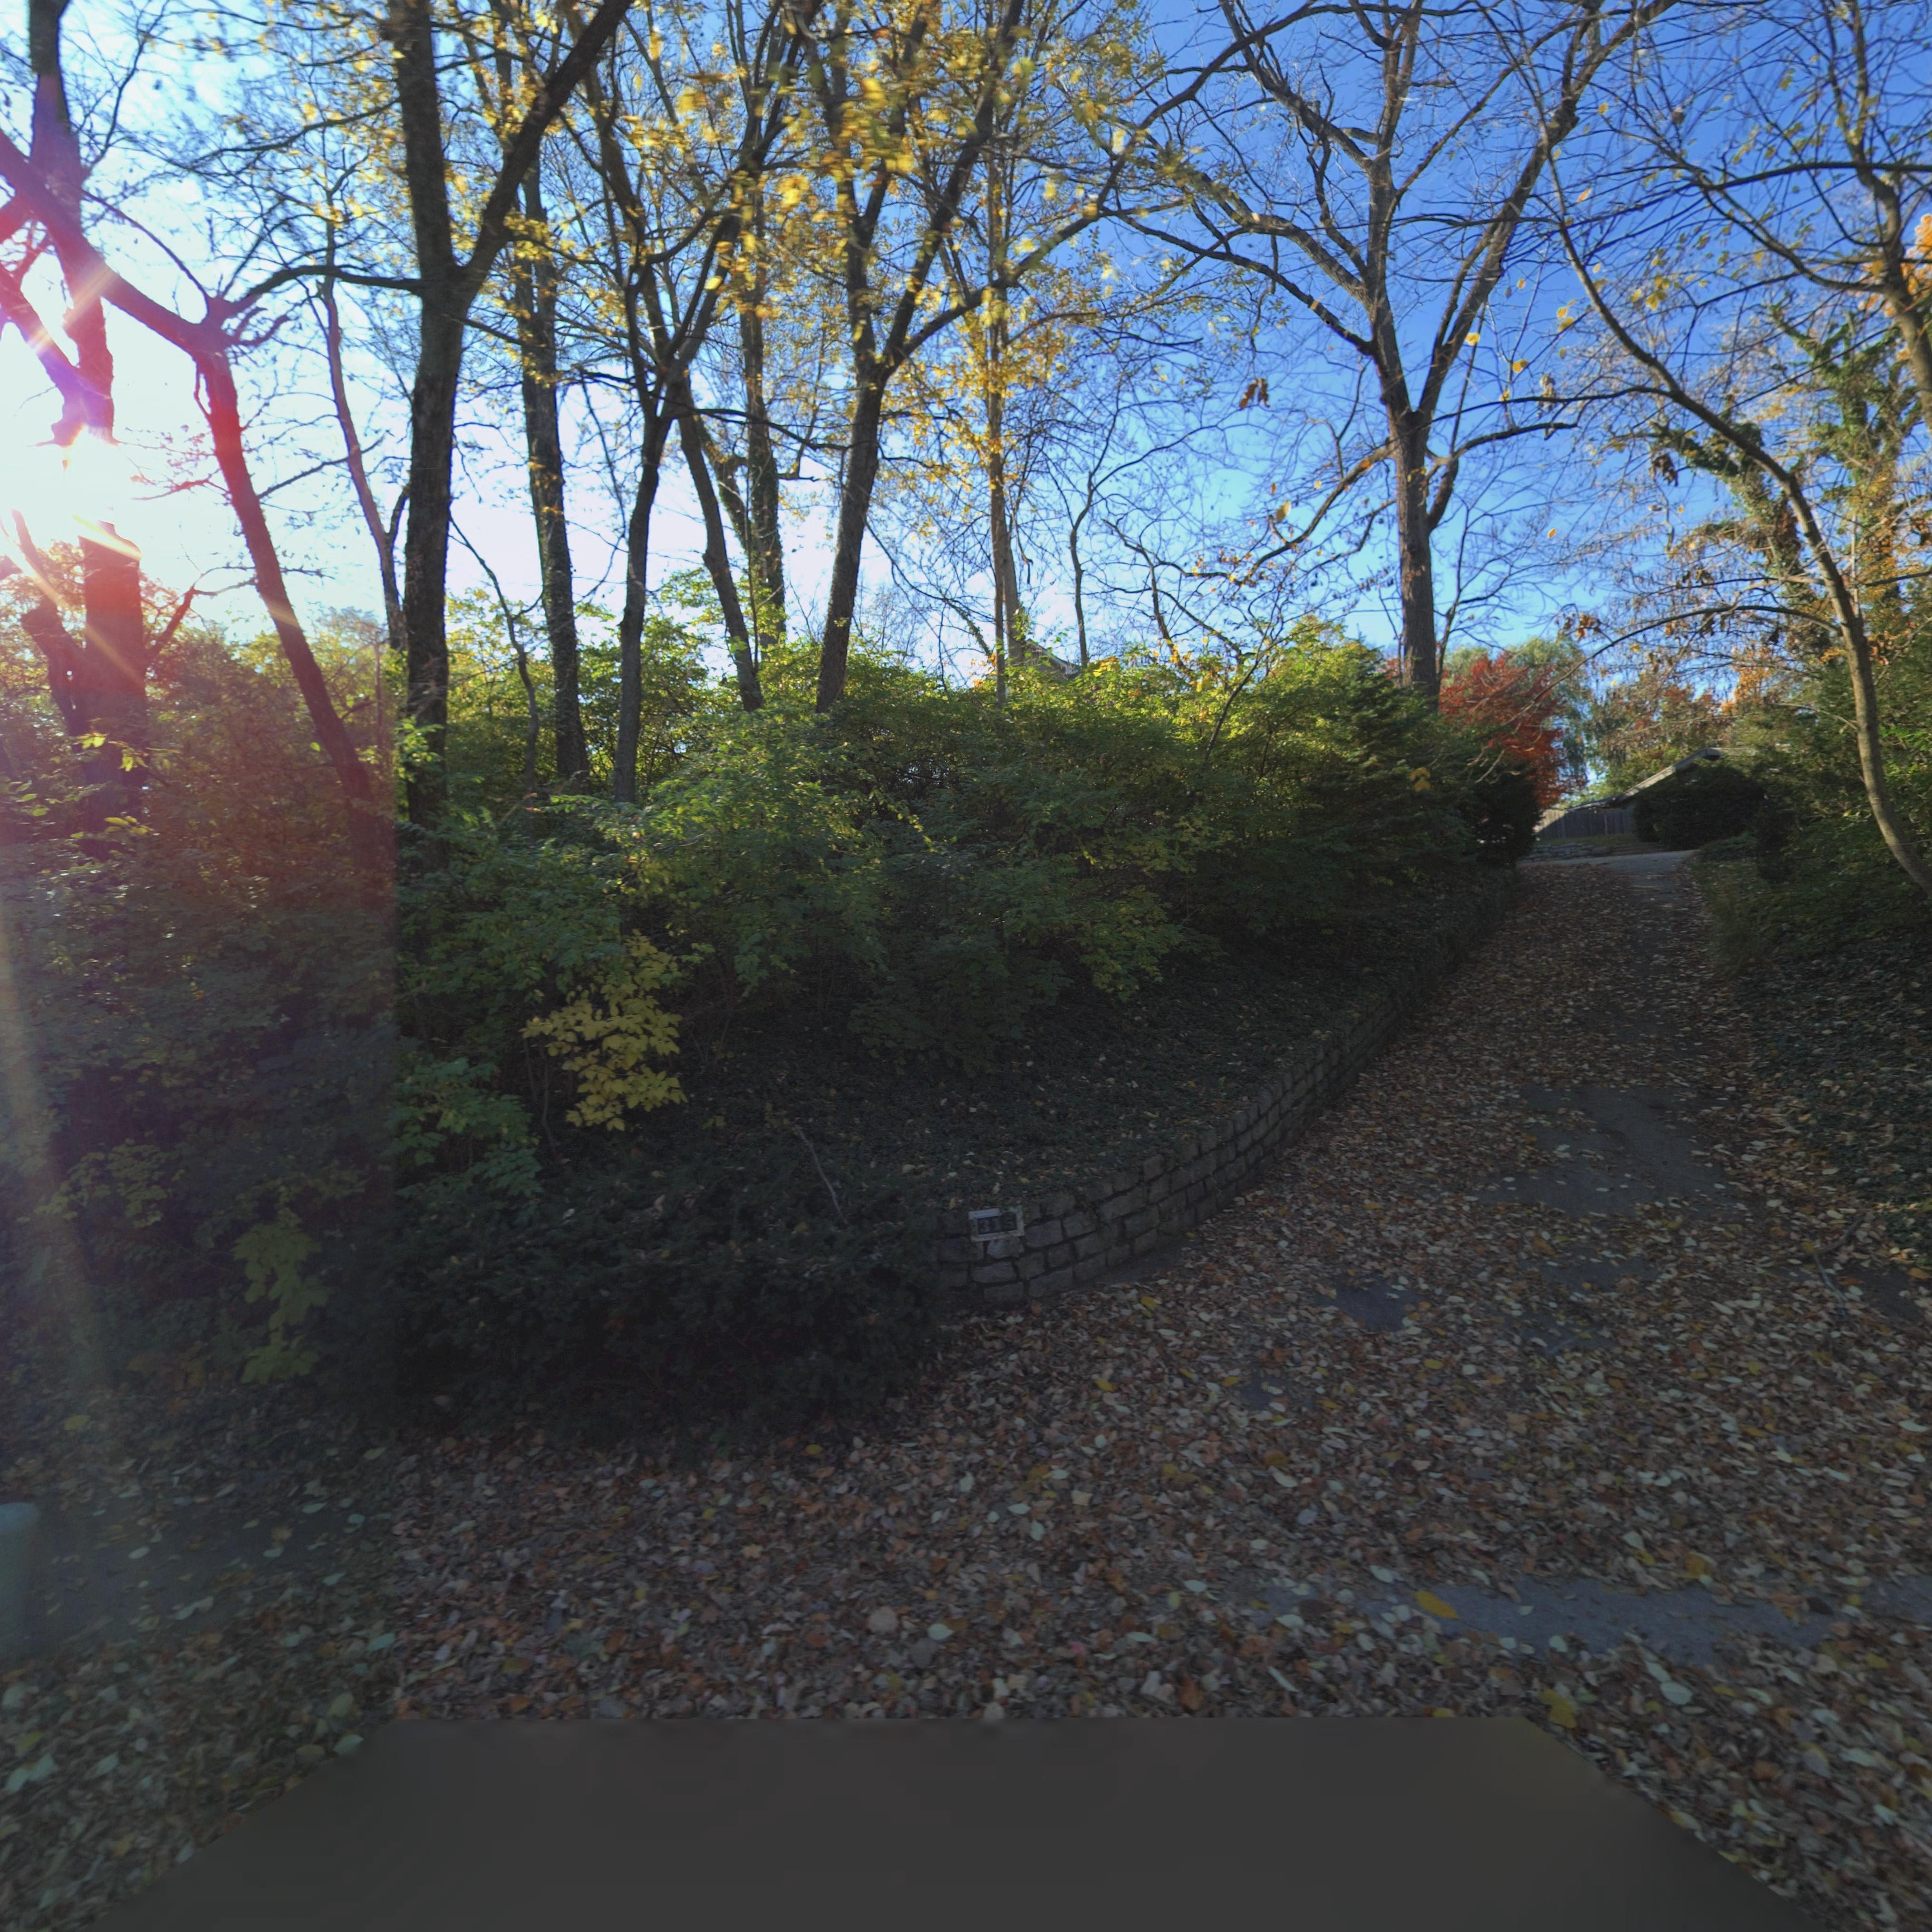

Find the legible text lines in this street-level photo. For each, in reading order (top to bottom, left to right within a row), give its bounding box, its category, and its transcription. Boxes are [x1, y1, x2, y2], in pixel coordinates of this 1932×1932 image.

[976, 1213, 1018, 1236] StreetNumber: 315